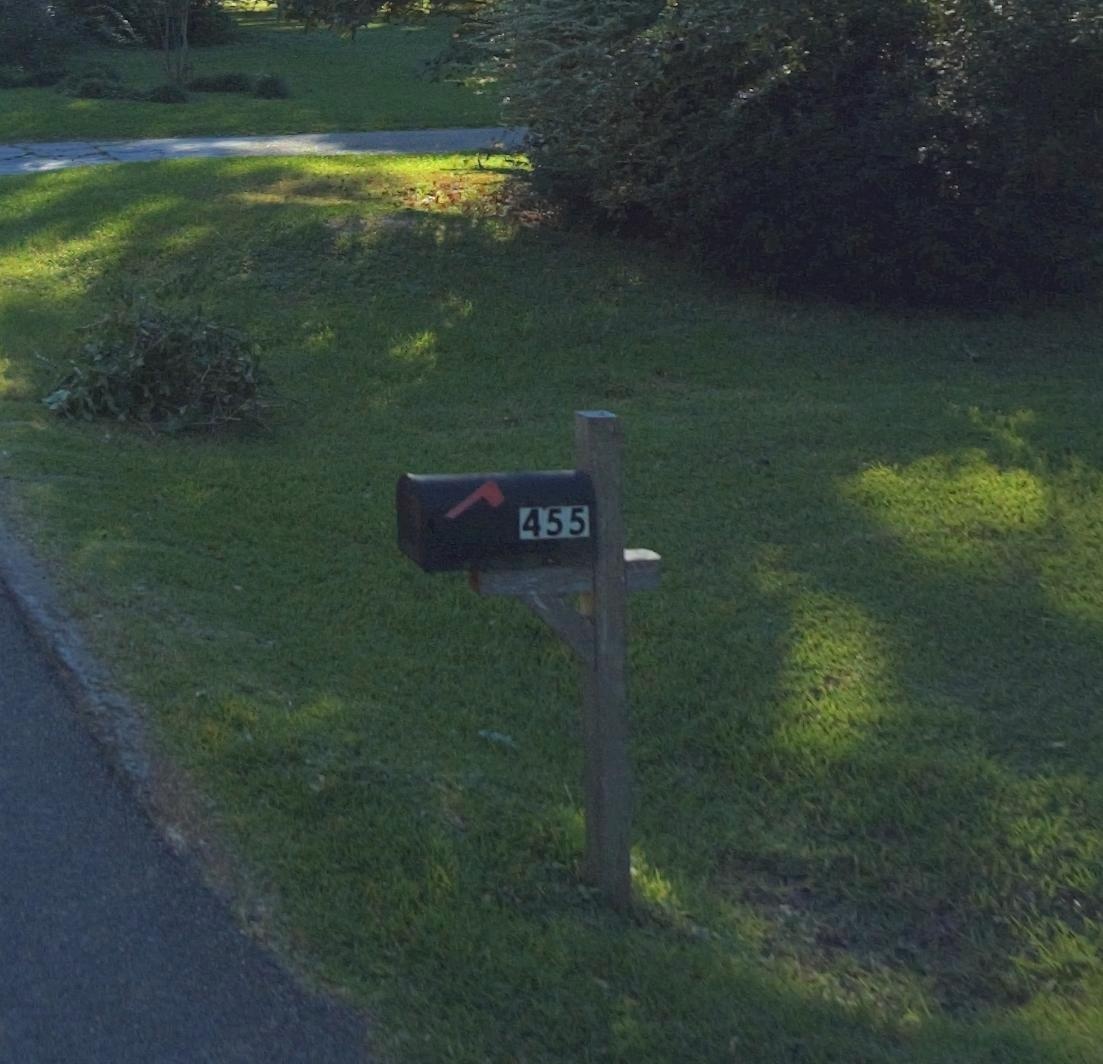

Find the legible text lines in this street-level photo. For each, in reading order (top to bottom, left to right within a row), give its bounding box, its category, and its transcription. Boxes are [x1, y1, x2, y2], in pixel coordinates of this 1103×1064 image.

[519, 504, 589, 541] StreetNumber: 455